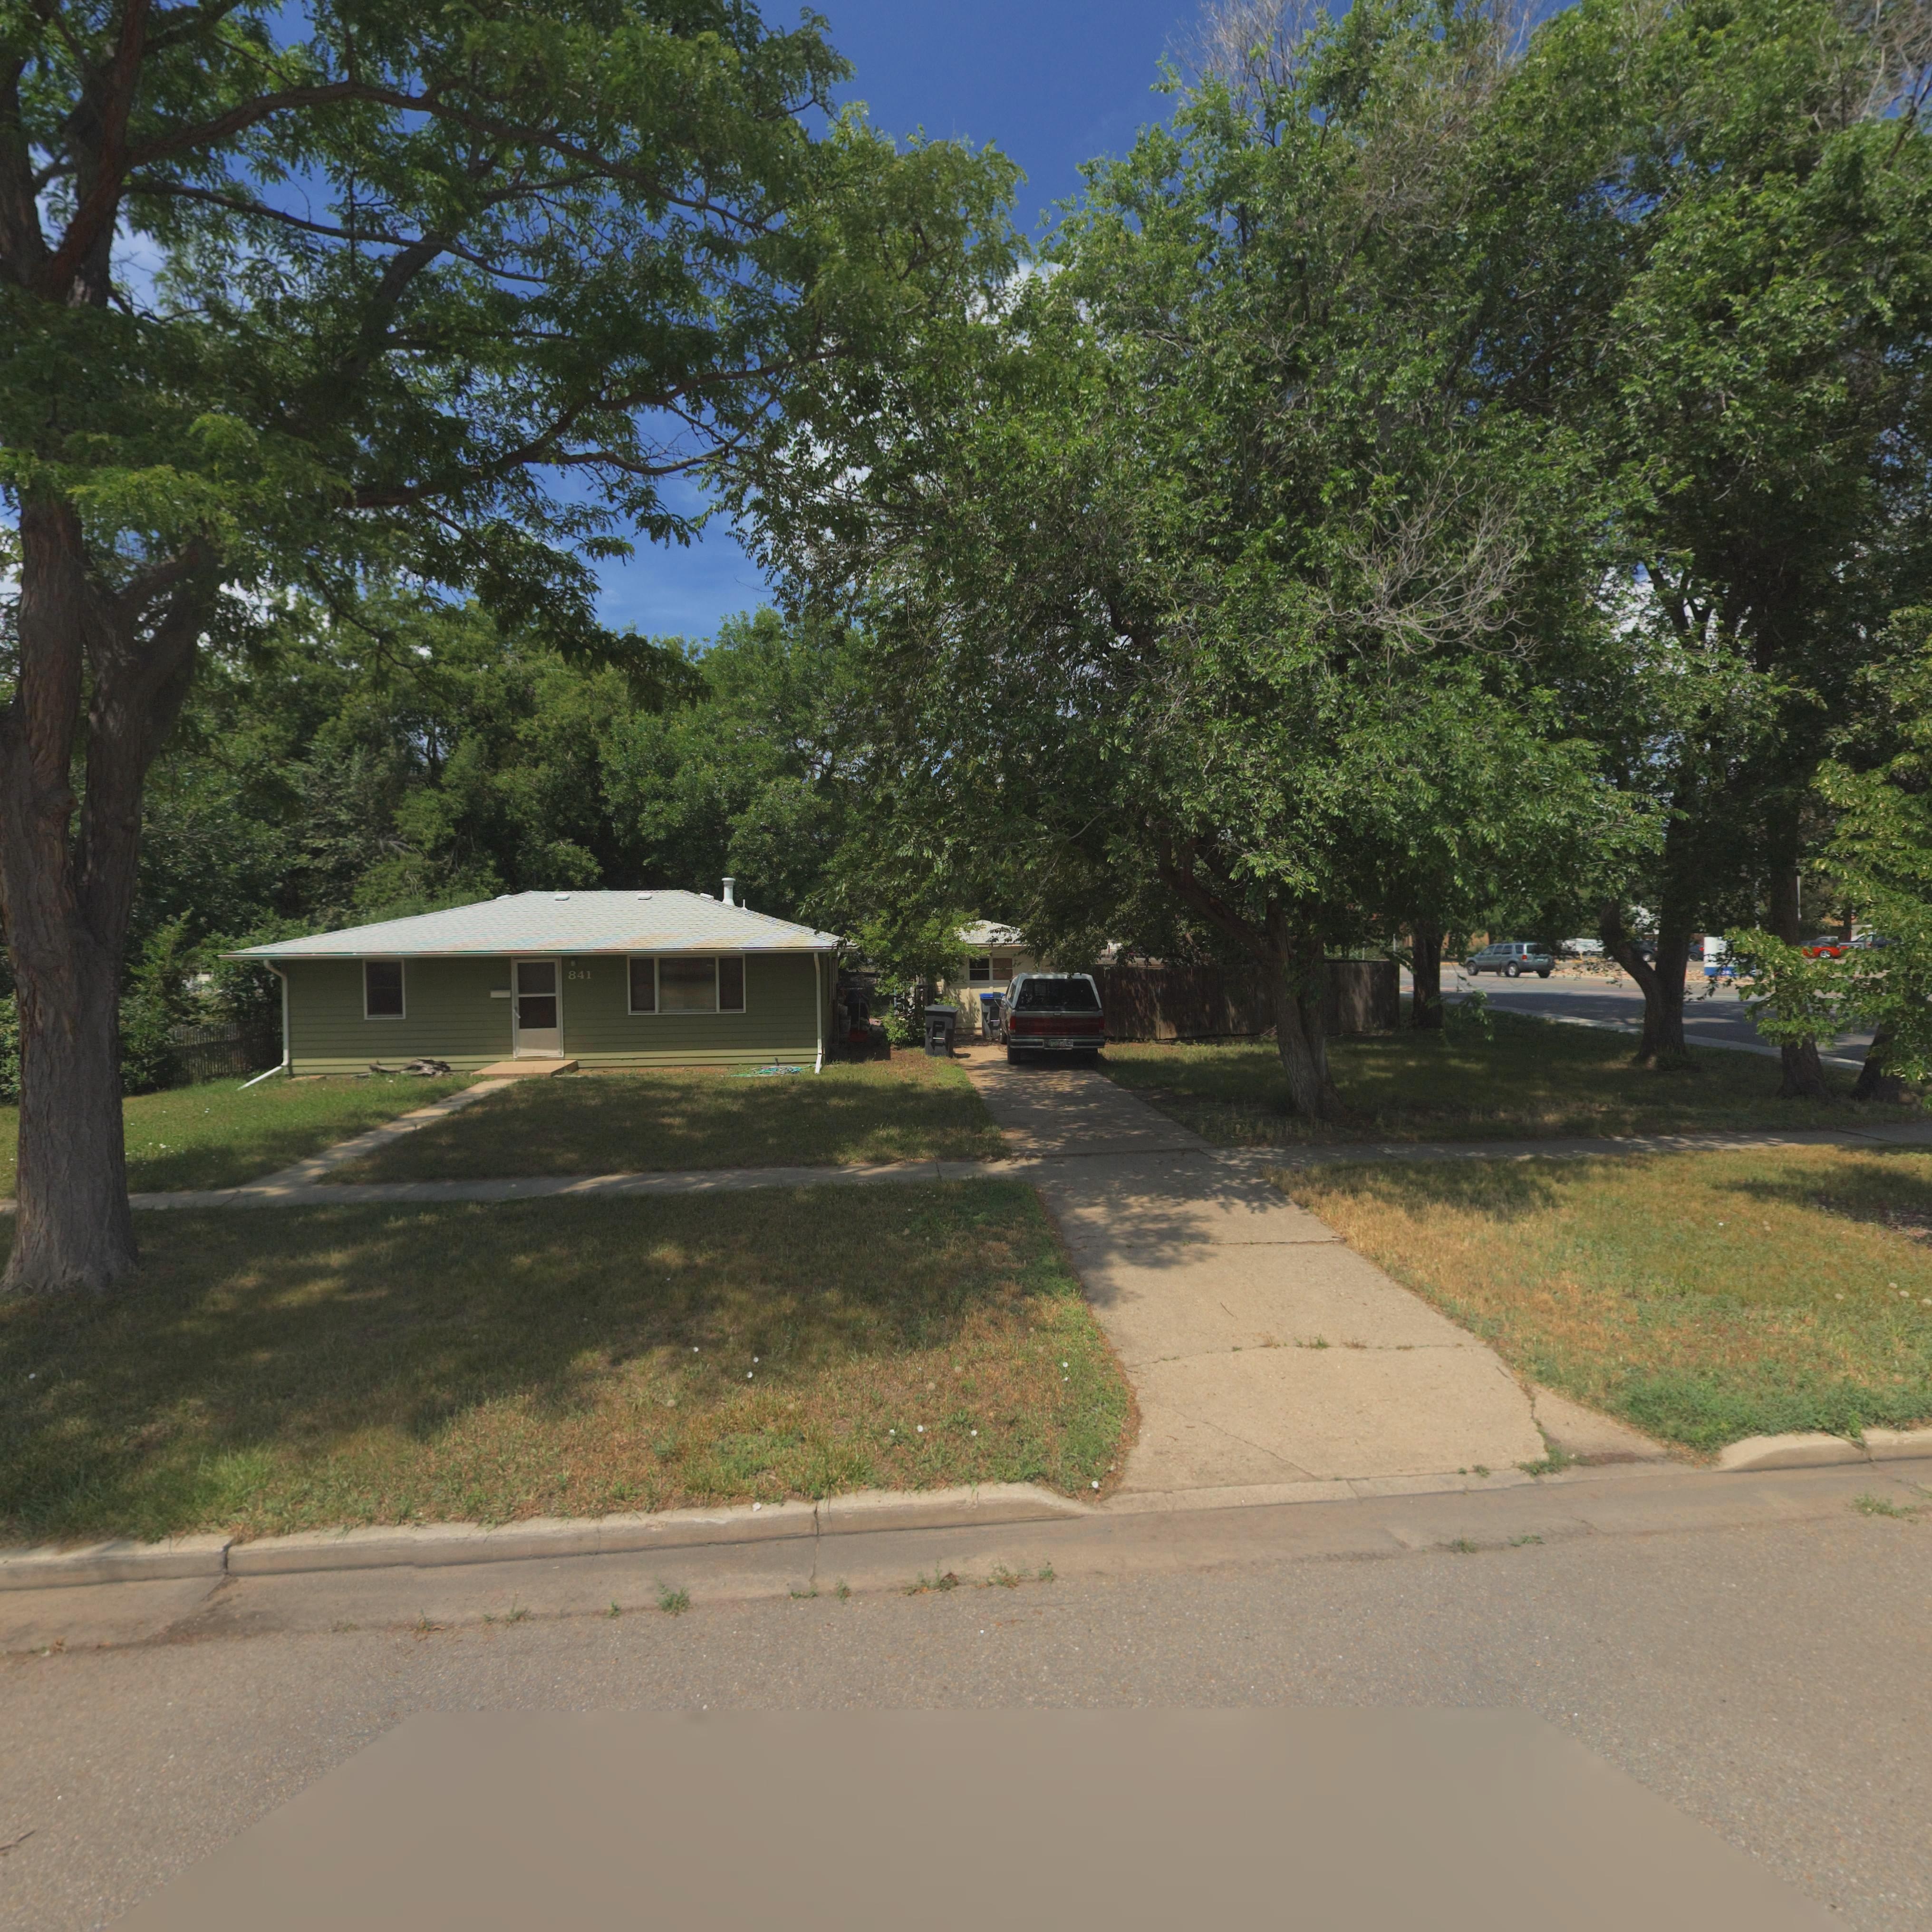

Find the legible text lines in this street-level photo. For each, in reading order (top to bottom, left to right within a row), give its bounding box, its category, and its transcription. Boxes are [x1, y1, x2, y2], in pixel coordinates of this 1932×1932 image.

[568, 969, 591, 980] StreetNumber: 841